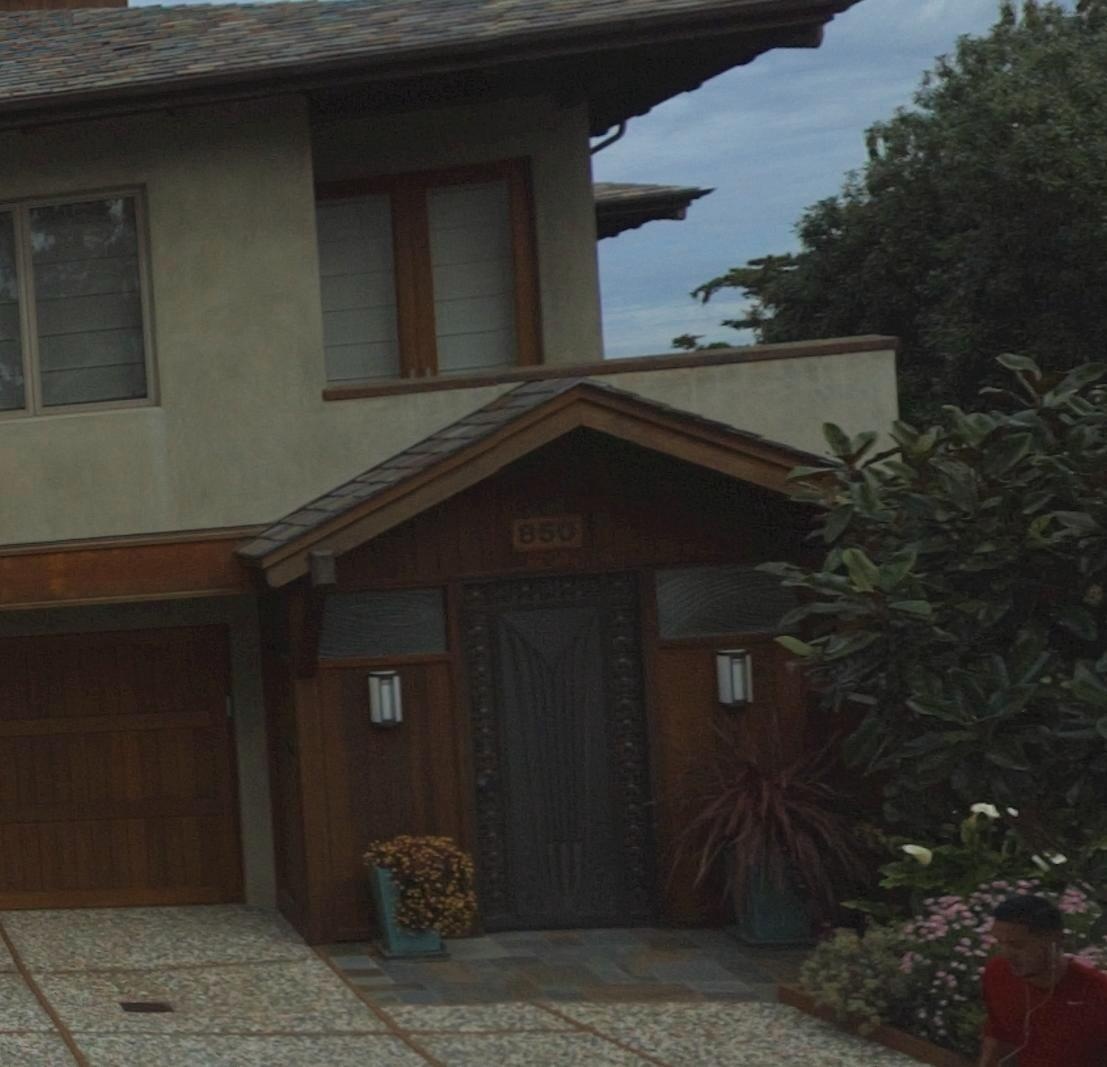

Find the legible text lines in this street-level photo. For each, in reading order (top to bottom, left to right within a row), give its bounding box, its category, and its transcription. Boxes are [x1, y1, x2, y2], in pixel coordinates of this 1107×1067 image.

[518, 519, 576, 545] StreetNumber: 850